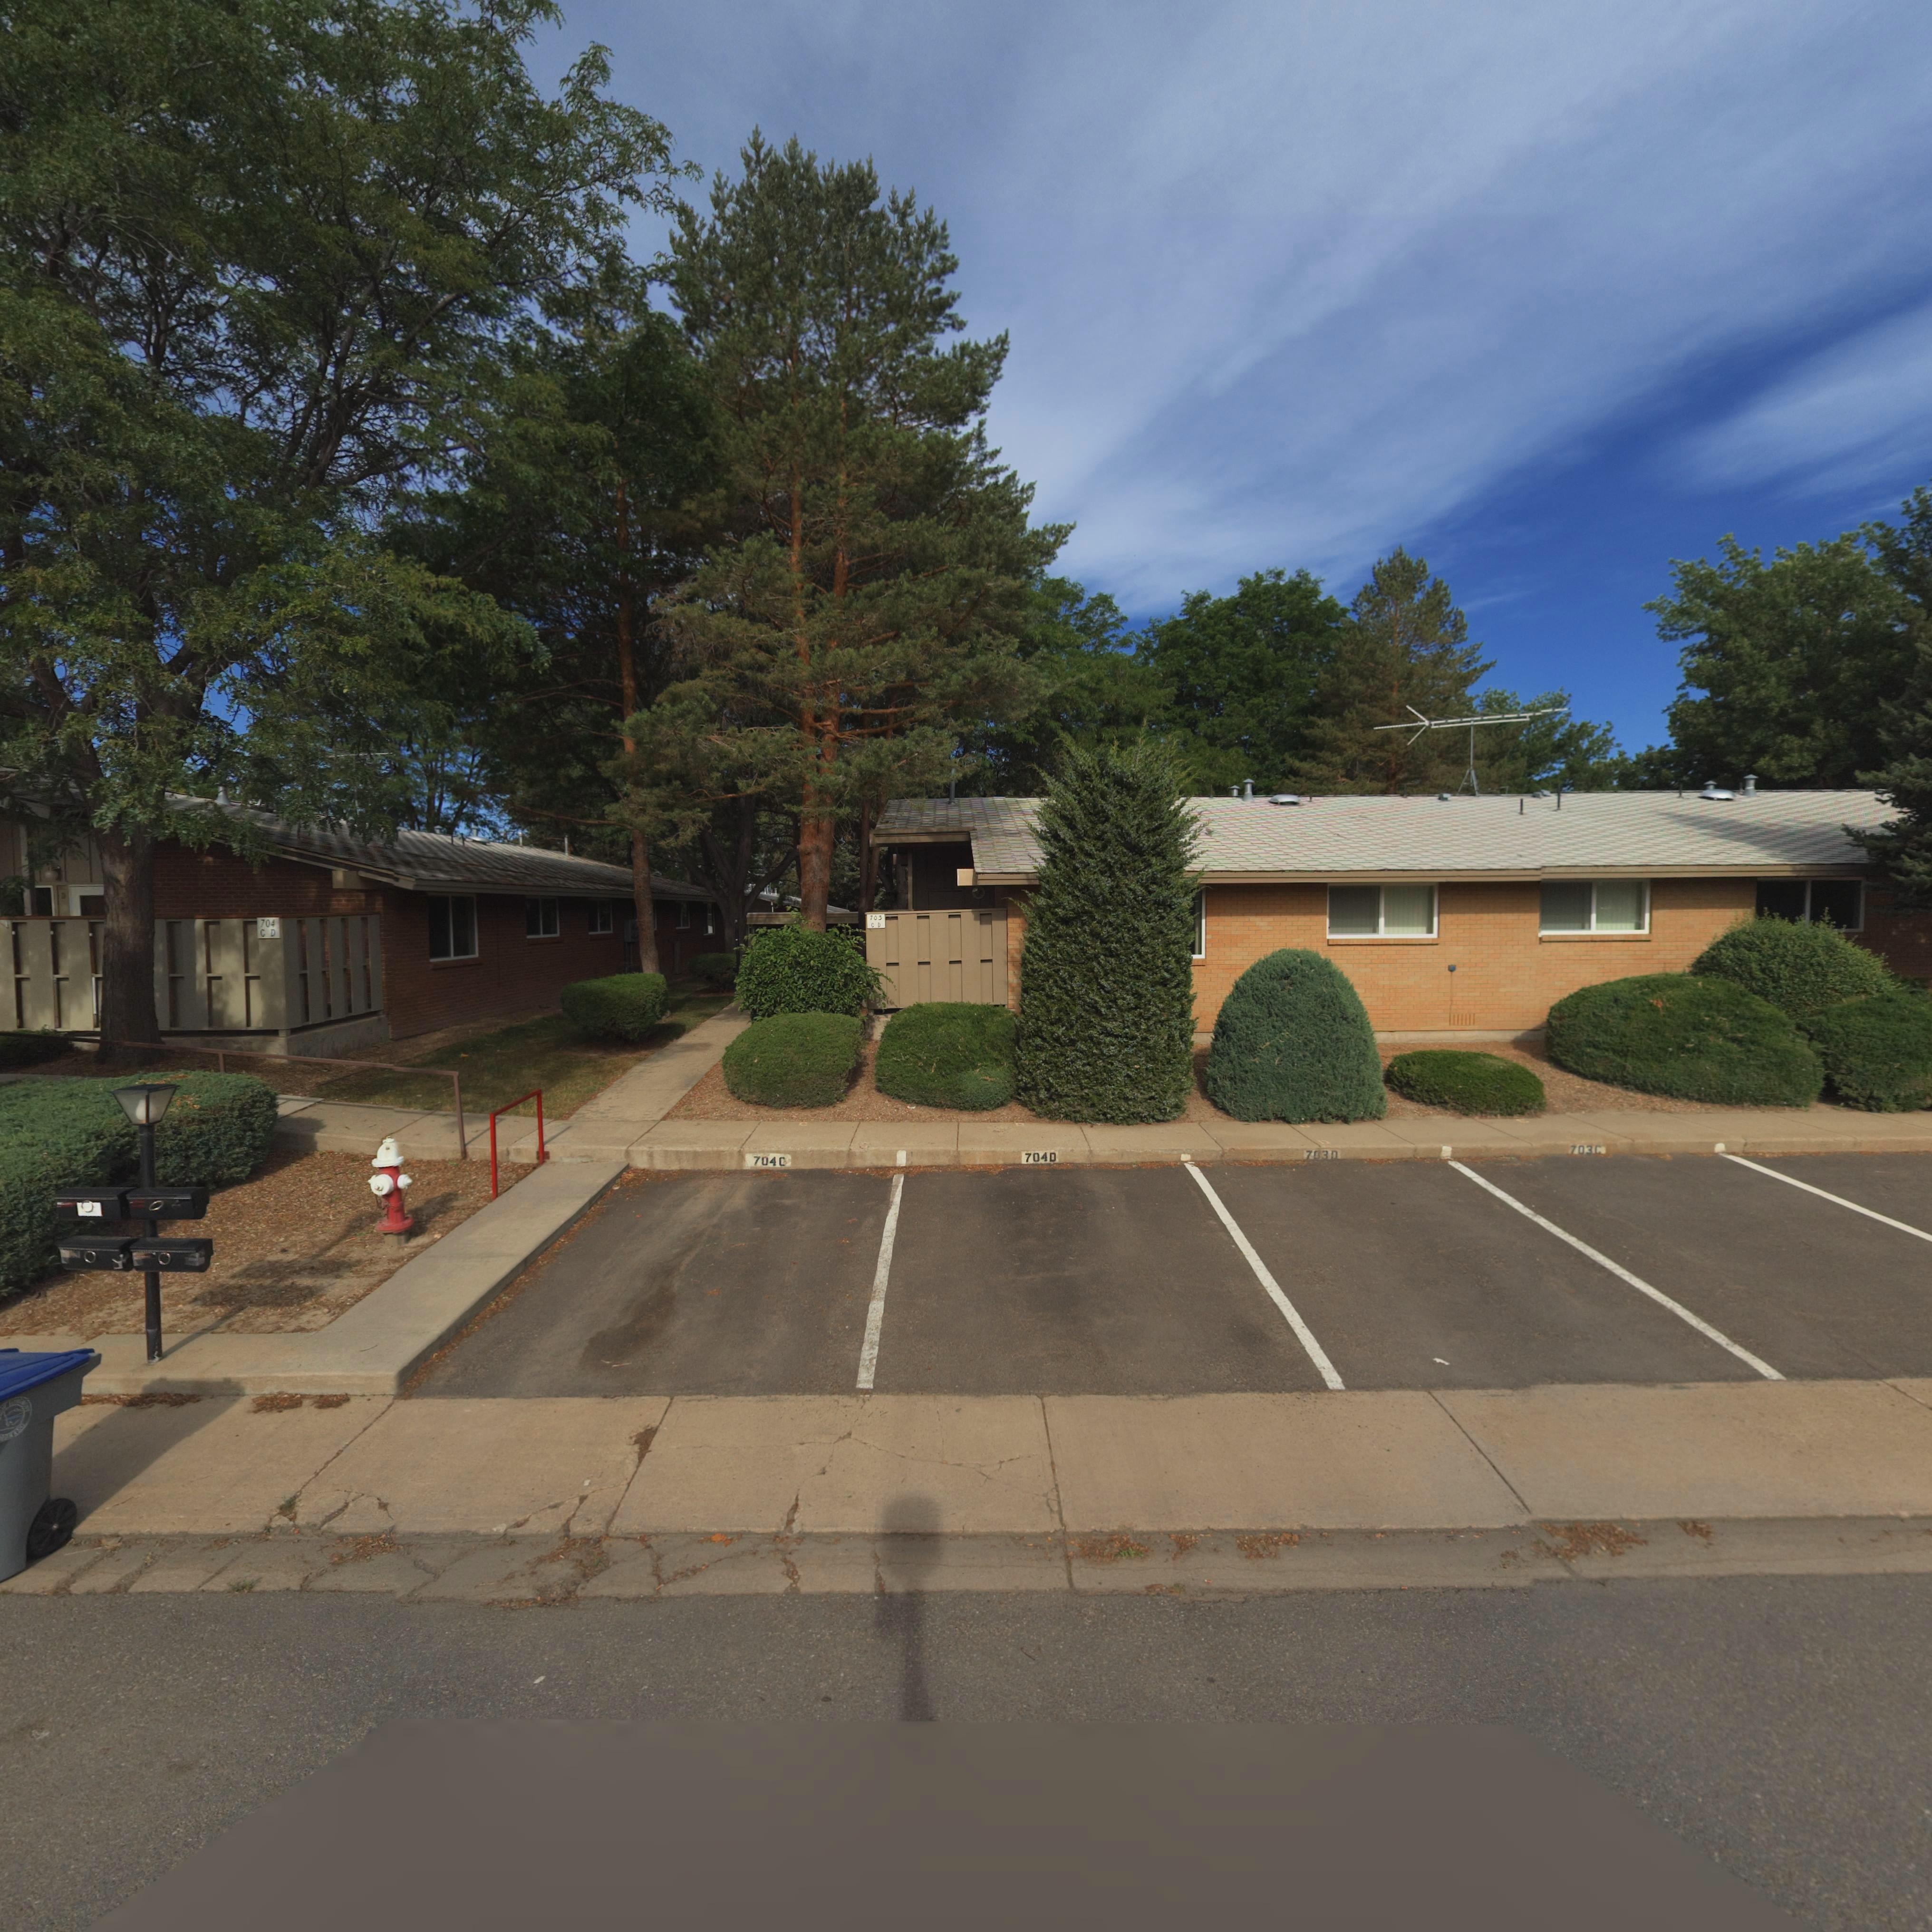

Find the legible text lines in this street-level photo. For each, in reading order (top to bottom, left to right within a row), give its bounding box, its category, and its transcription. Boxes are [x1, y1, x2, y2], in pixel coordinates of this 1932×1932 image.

[869, 915, 882, 920] StreetNumber: 703
[260, 919, 275, 927] StreetNumber: 704
[870, 922, 881, 927] StreetNumber: C D
[260, 928, 276, 937] StreetNumber: C D